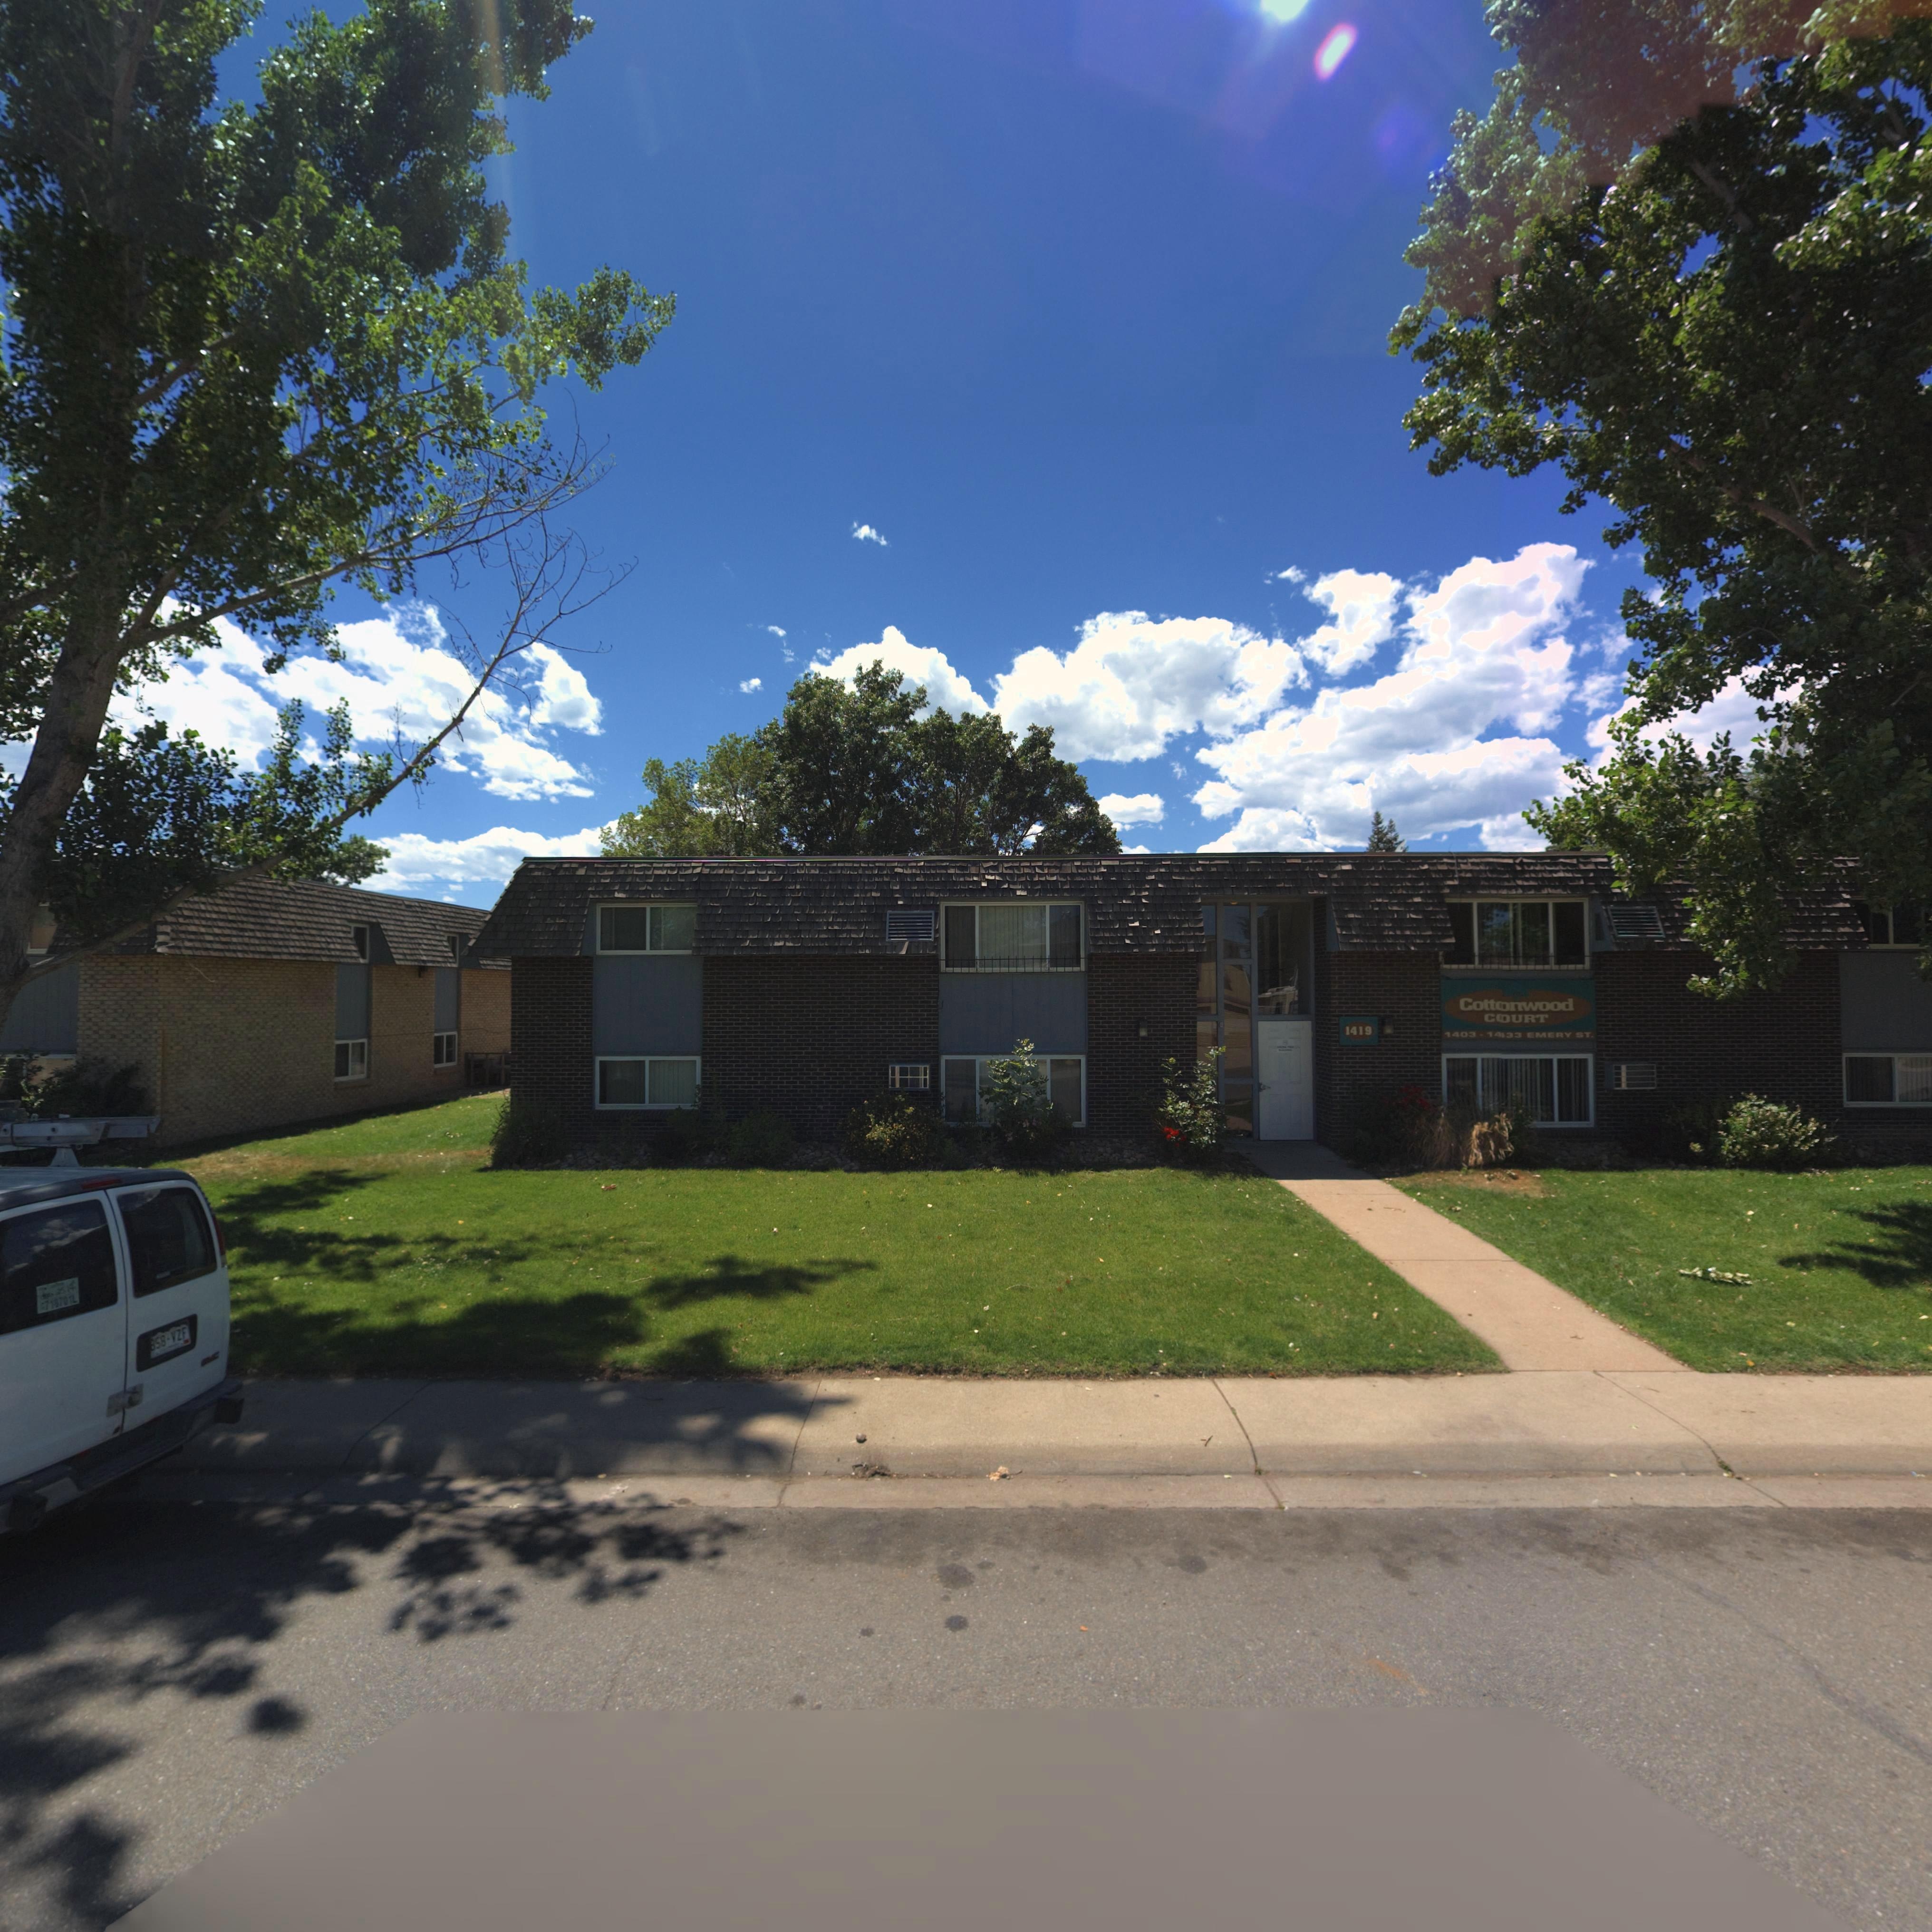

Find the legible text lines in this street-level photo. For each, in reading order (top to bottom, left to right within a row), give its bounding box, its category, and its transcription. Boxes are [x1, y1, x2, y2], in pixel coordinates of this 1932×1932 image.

[1459, 997, 1575, 1011] BusinessName: Cott*nwood
[1483, 1013, 1549, 1023] BusinessName: C*OURT
[1345, 1025, 1372, 1035] StreetNumber: 1419
[1444, 1031, 1522, 1038] StreetNumber: 1403 - 14*33
[1526, 1032, 1594, 1038] StreetName: EMERY ST.